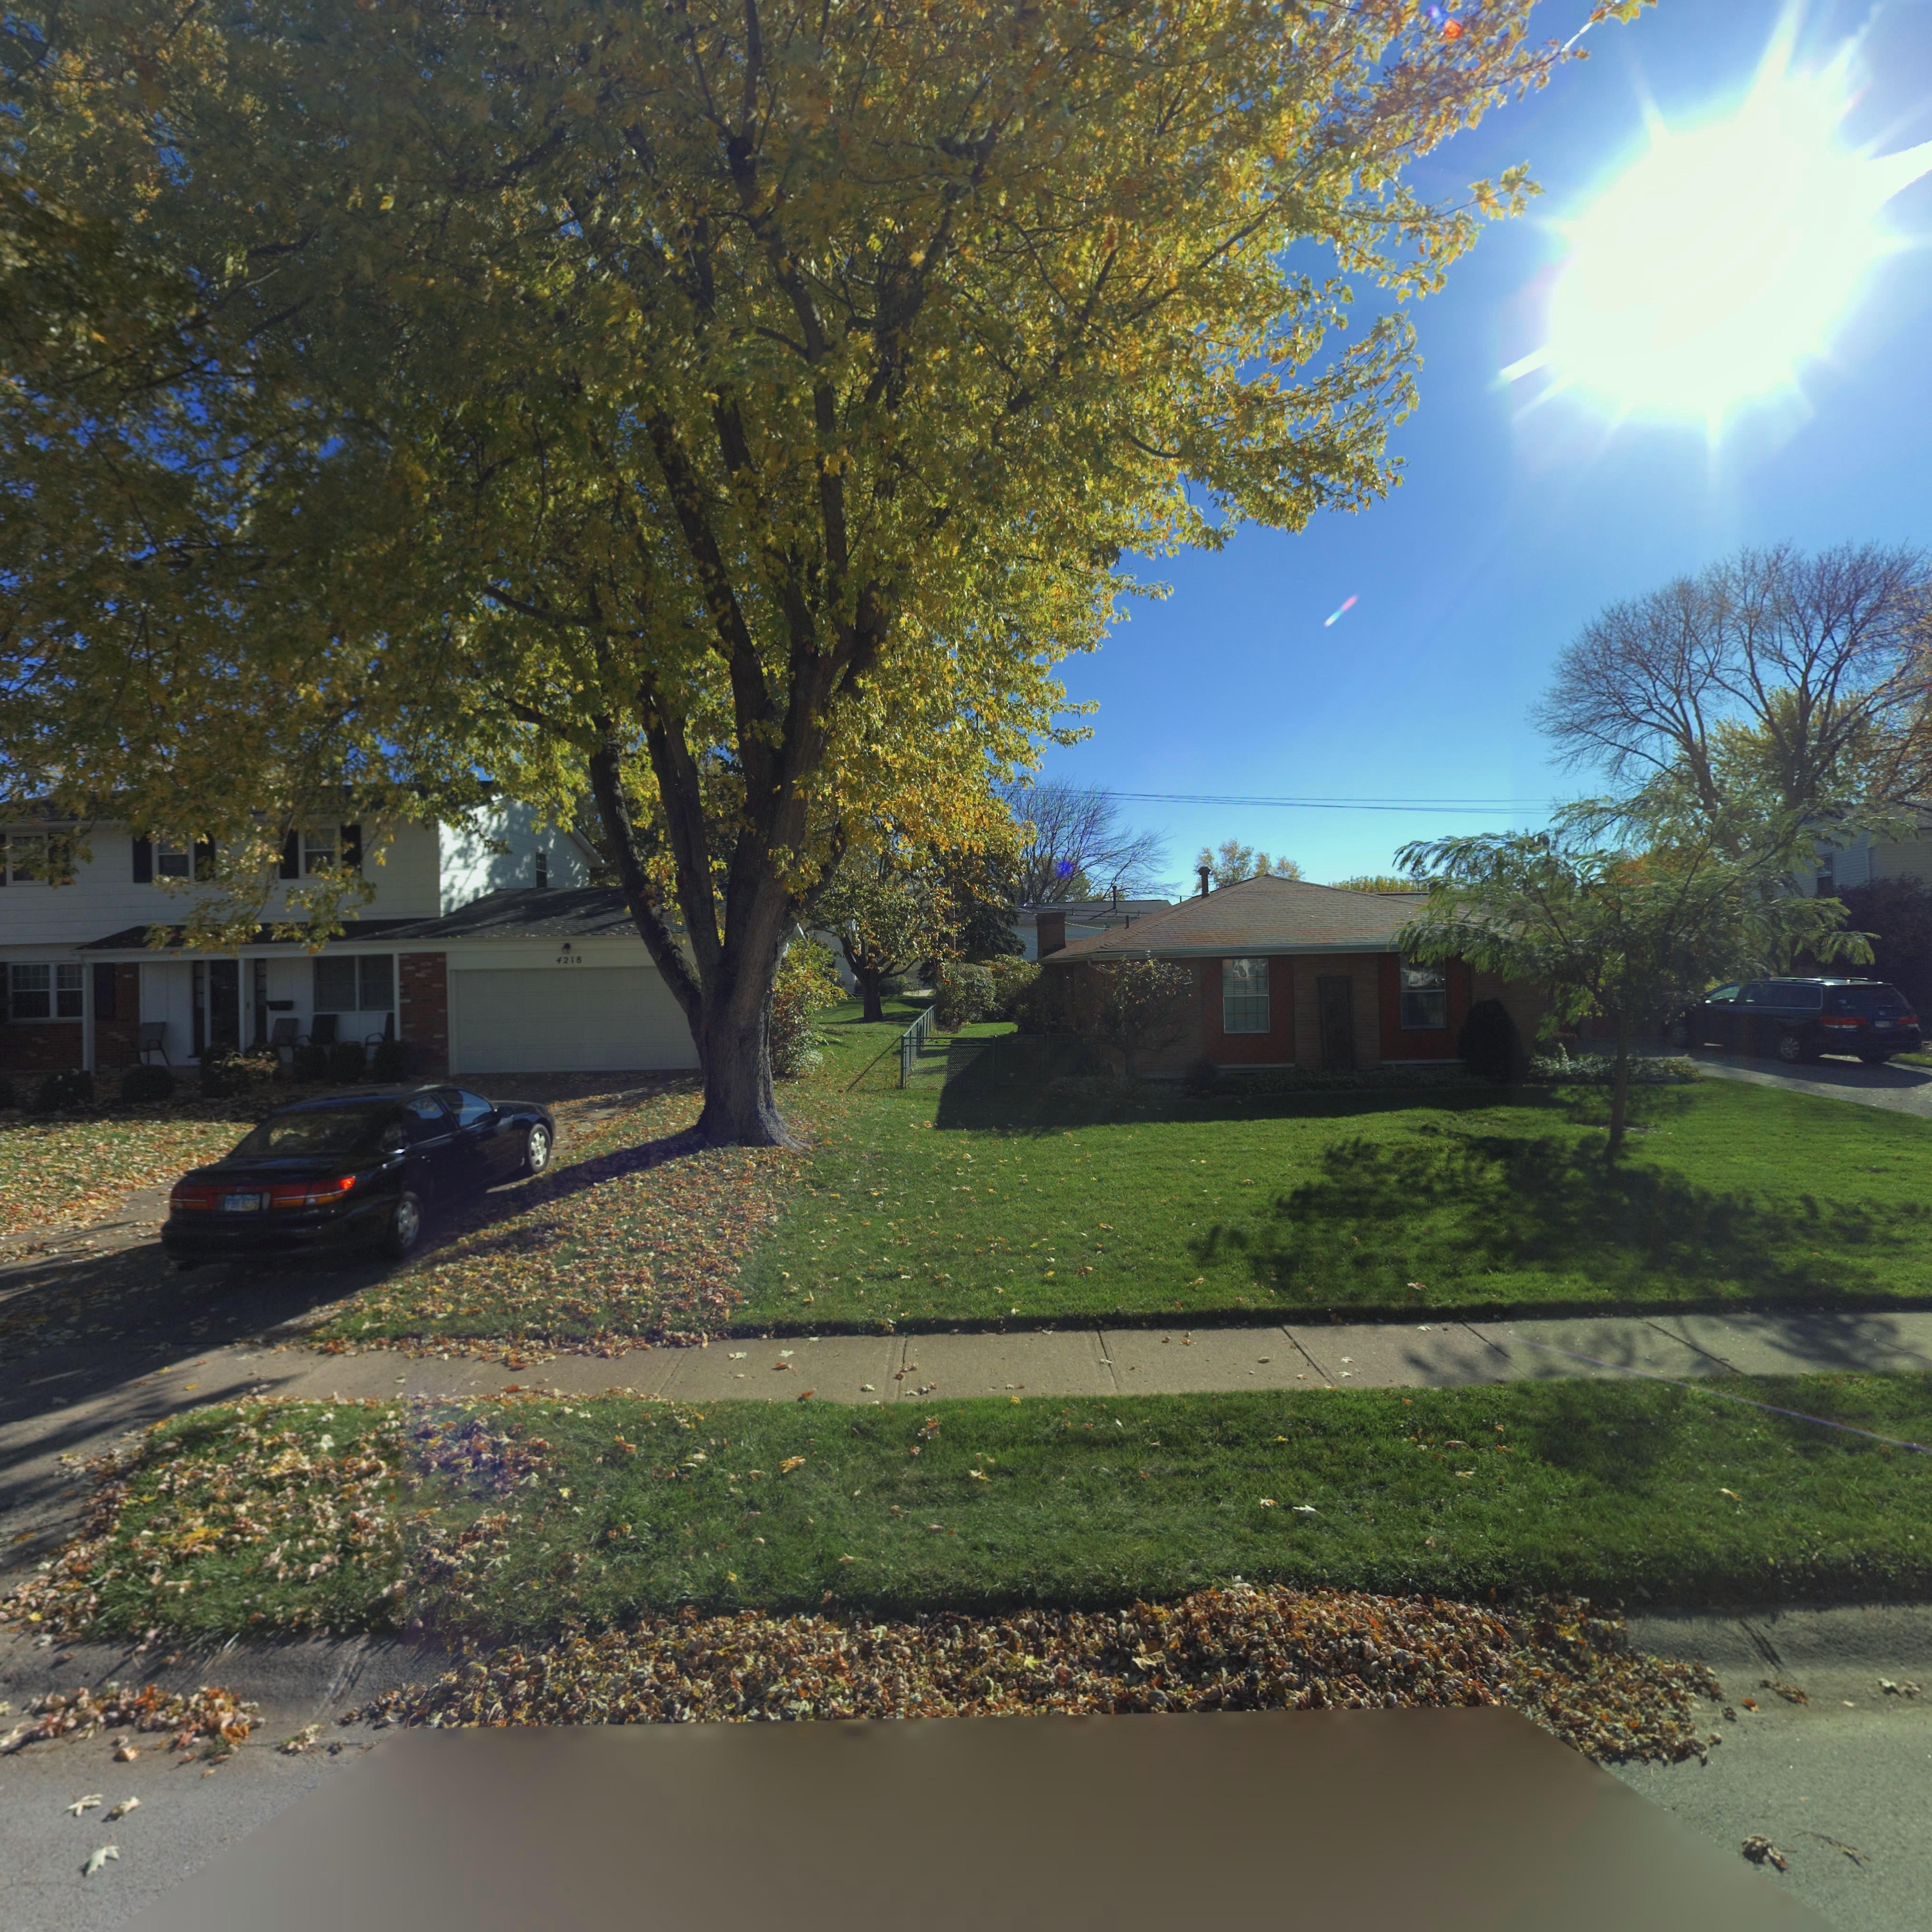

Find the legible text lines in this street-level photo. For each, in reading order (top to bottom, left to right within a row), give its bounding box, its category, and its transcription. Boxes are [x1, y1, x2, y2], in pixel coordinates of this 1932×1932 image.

[555, 955, 583, 965] StreetNumber: 4218
[225, 1197, 259, 1209] None: FBH*8275